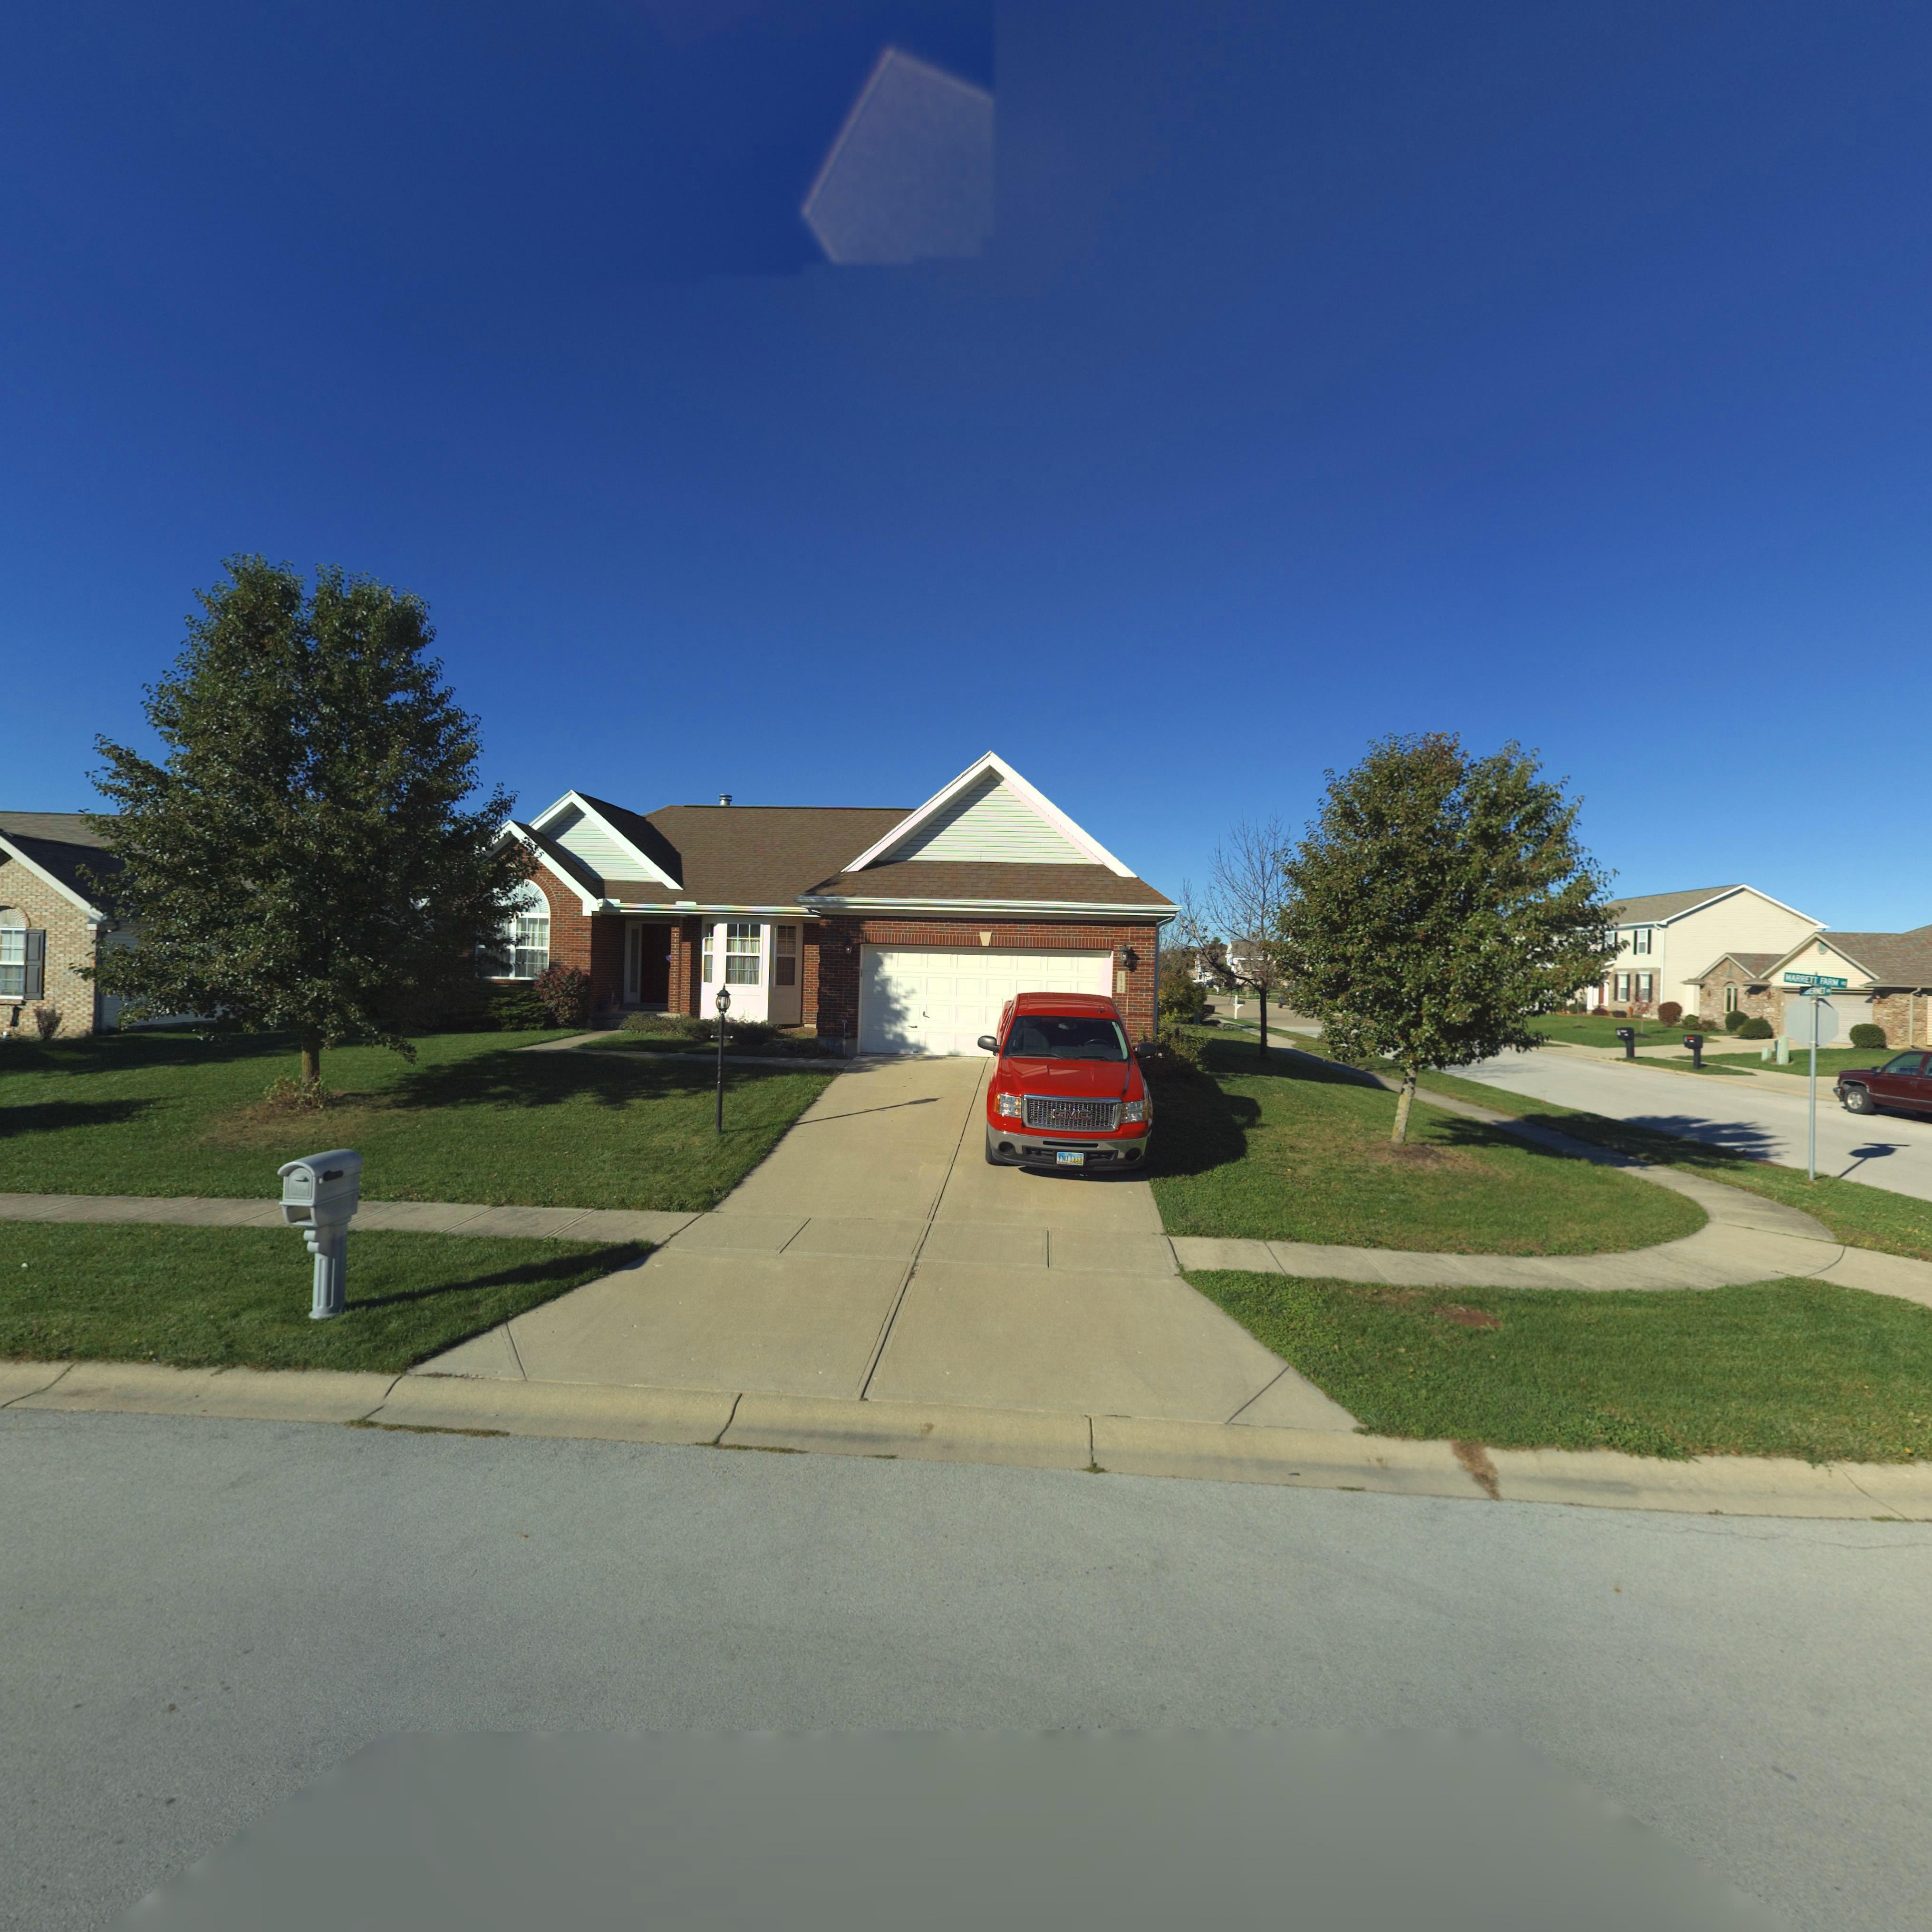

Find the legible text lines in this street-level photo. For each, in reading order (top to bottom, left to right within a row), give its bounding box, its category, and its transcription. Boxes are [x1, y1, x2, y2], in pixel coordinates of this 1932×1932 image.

[1118, 973, 1124, 992] StreetNumber: 172